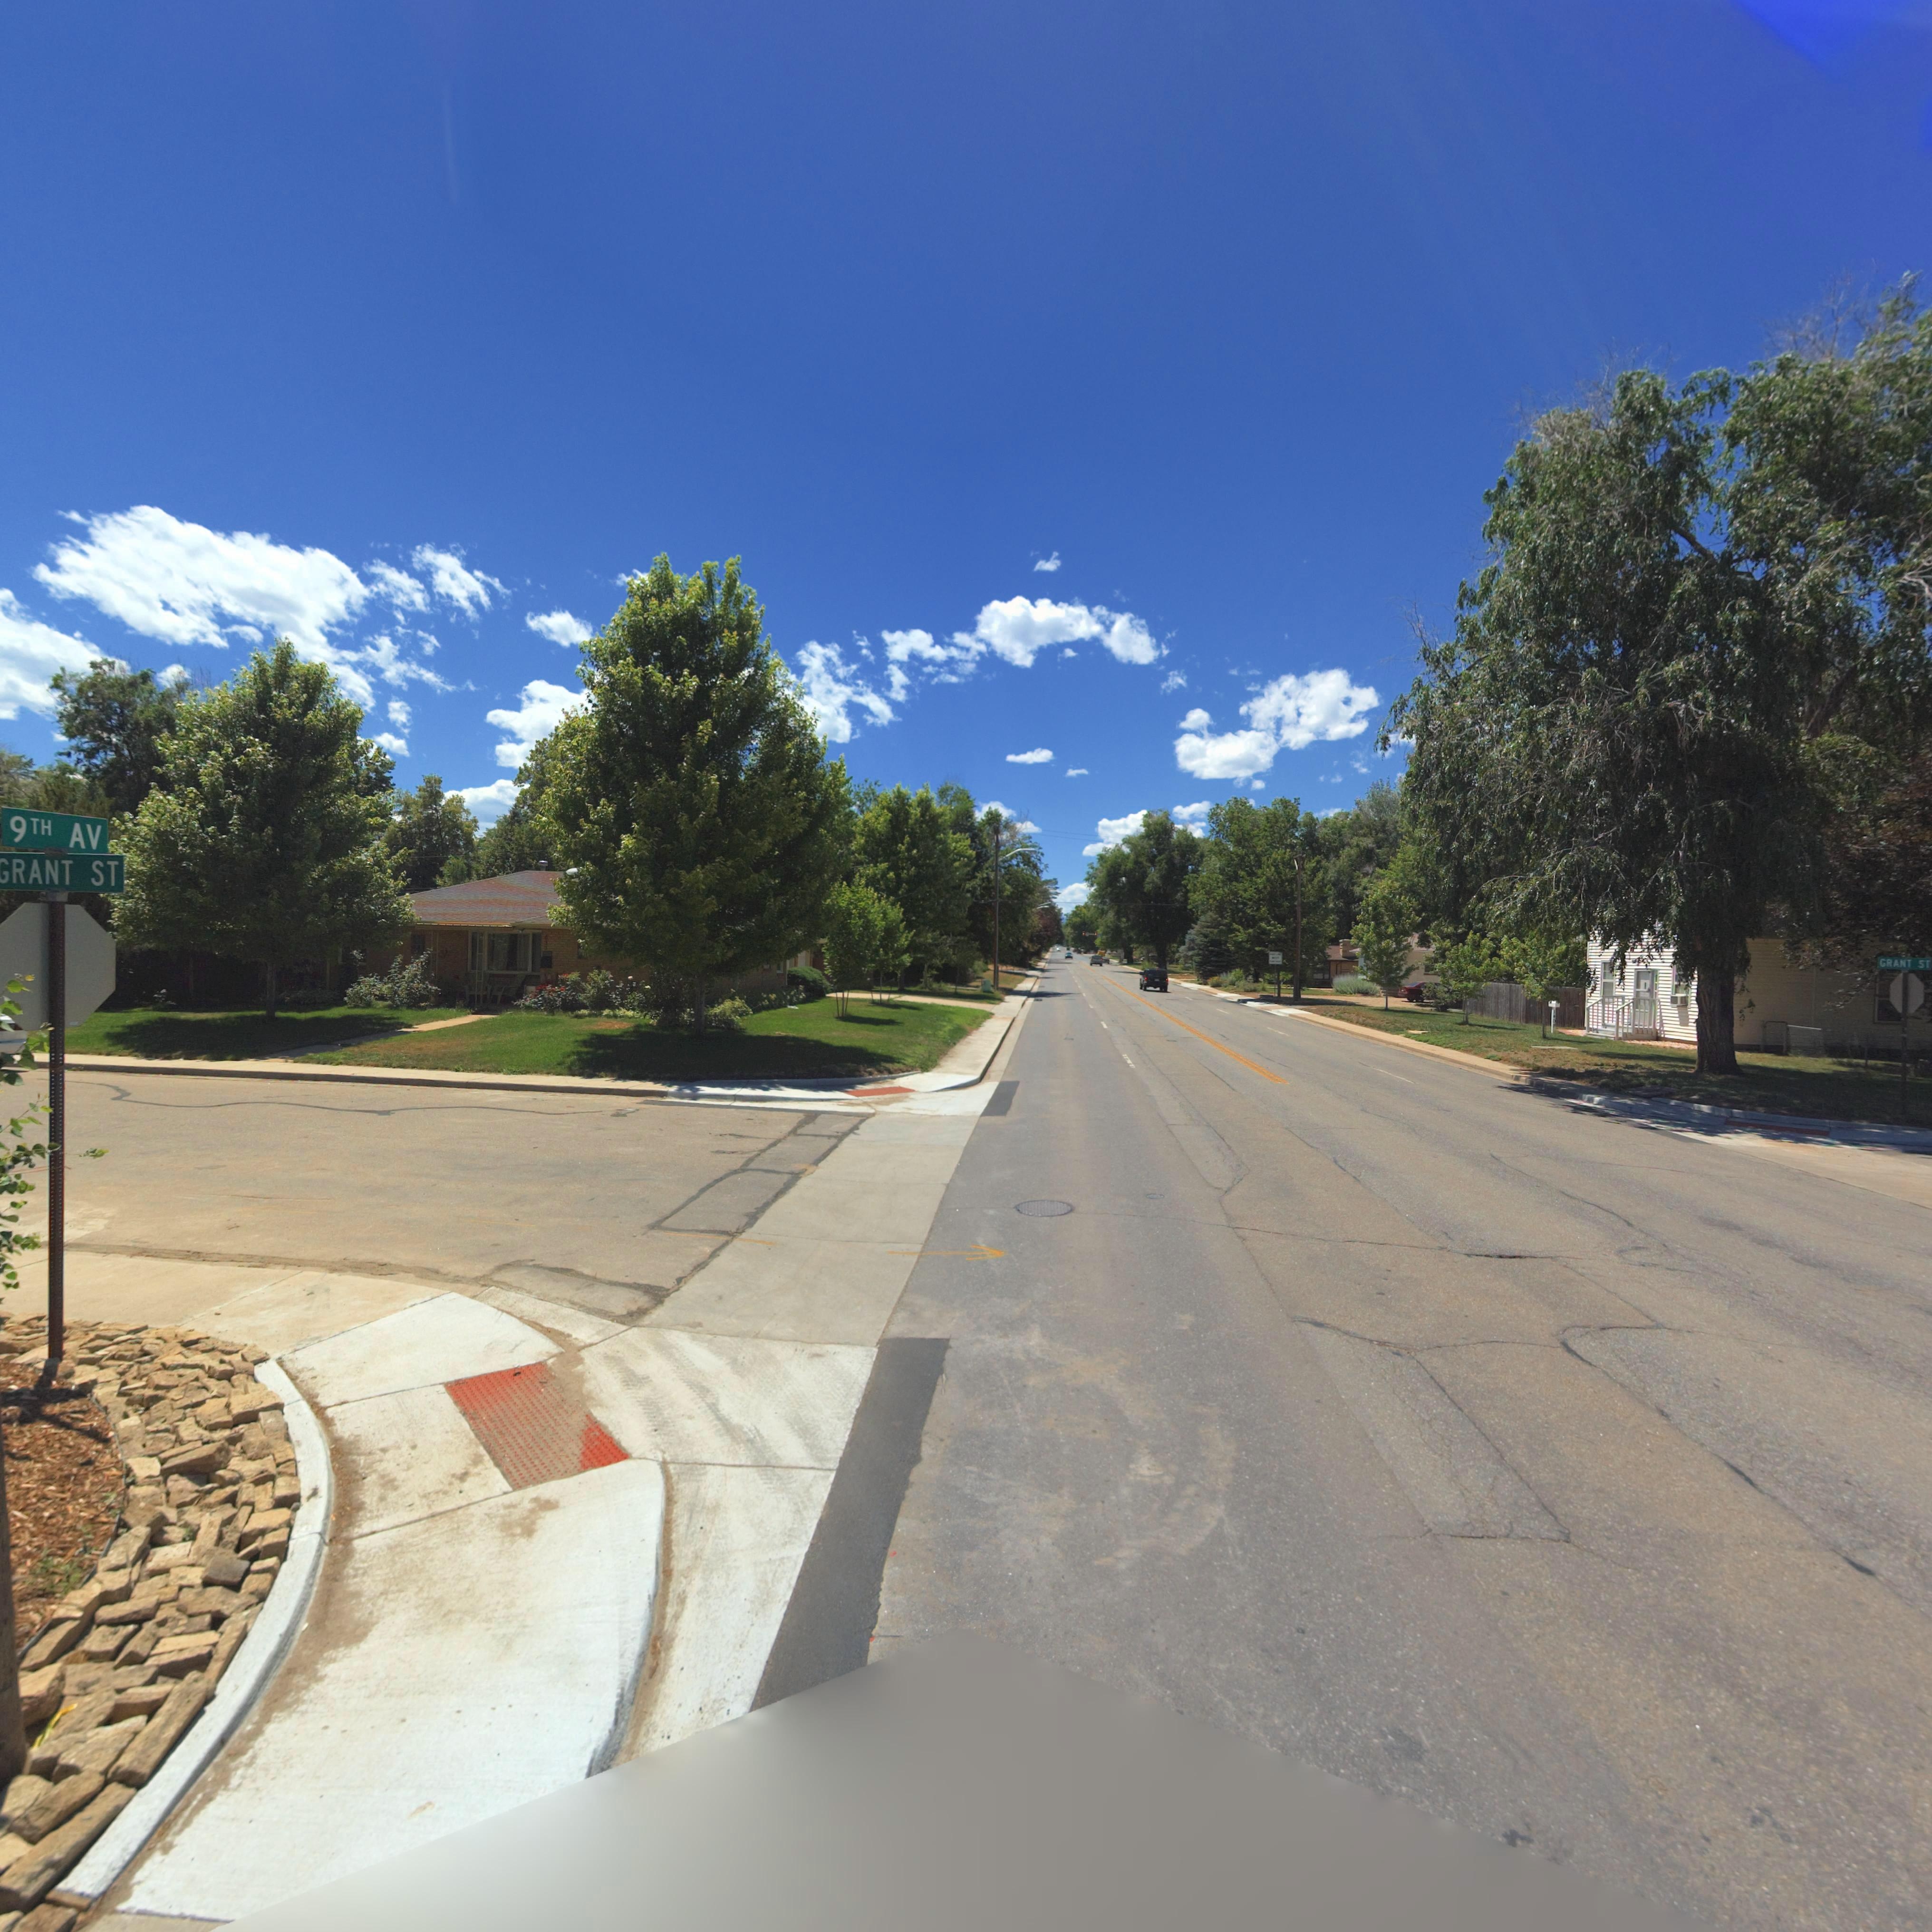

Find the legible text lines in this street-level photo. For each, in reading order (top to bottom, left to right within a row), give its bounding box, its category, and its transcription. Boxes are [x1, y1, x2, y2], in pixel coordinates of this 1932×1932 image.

[8, 815, 101, 850] StreetName: 9TH AV
[12, 858, 119, 886] StreetName: RANT ST
[543, 934, 548, 950] StreetNumber: *33
[1879, 958, 1930, 968] StreetName: GRANT ST